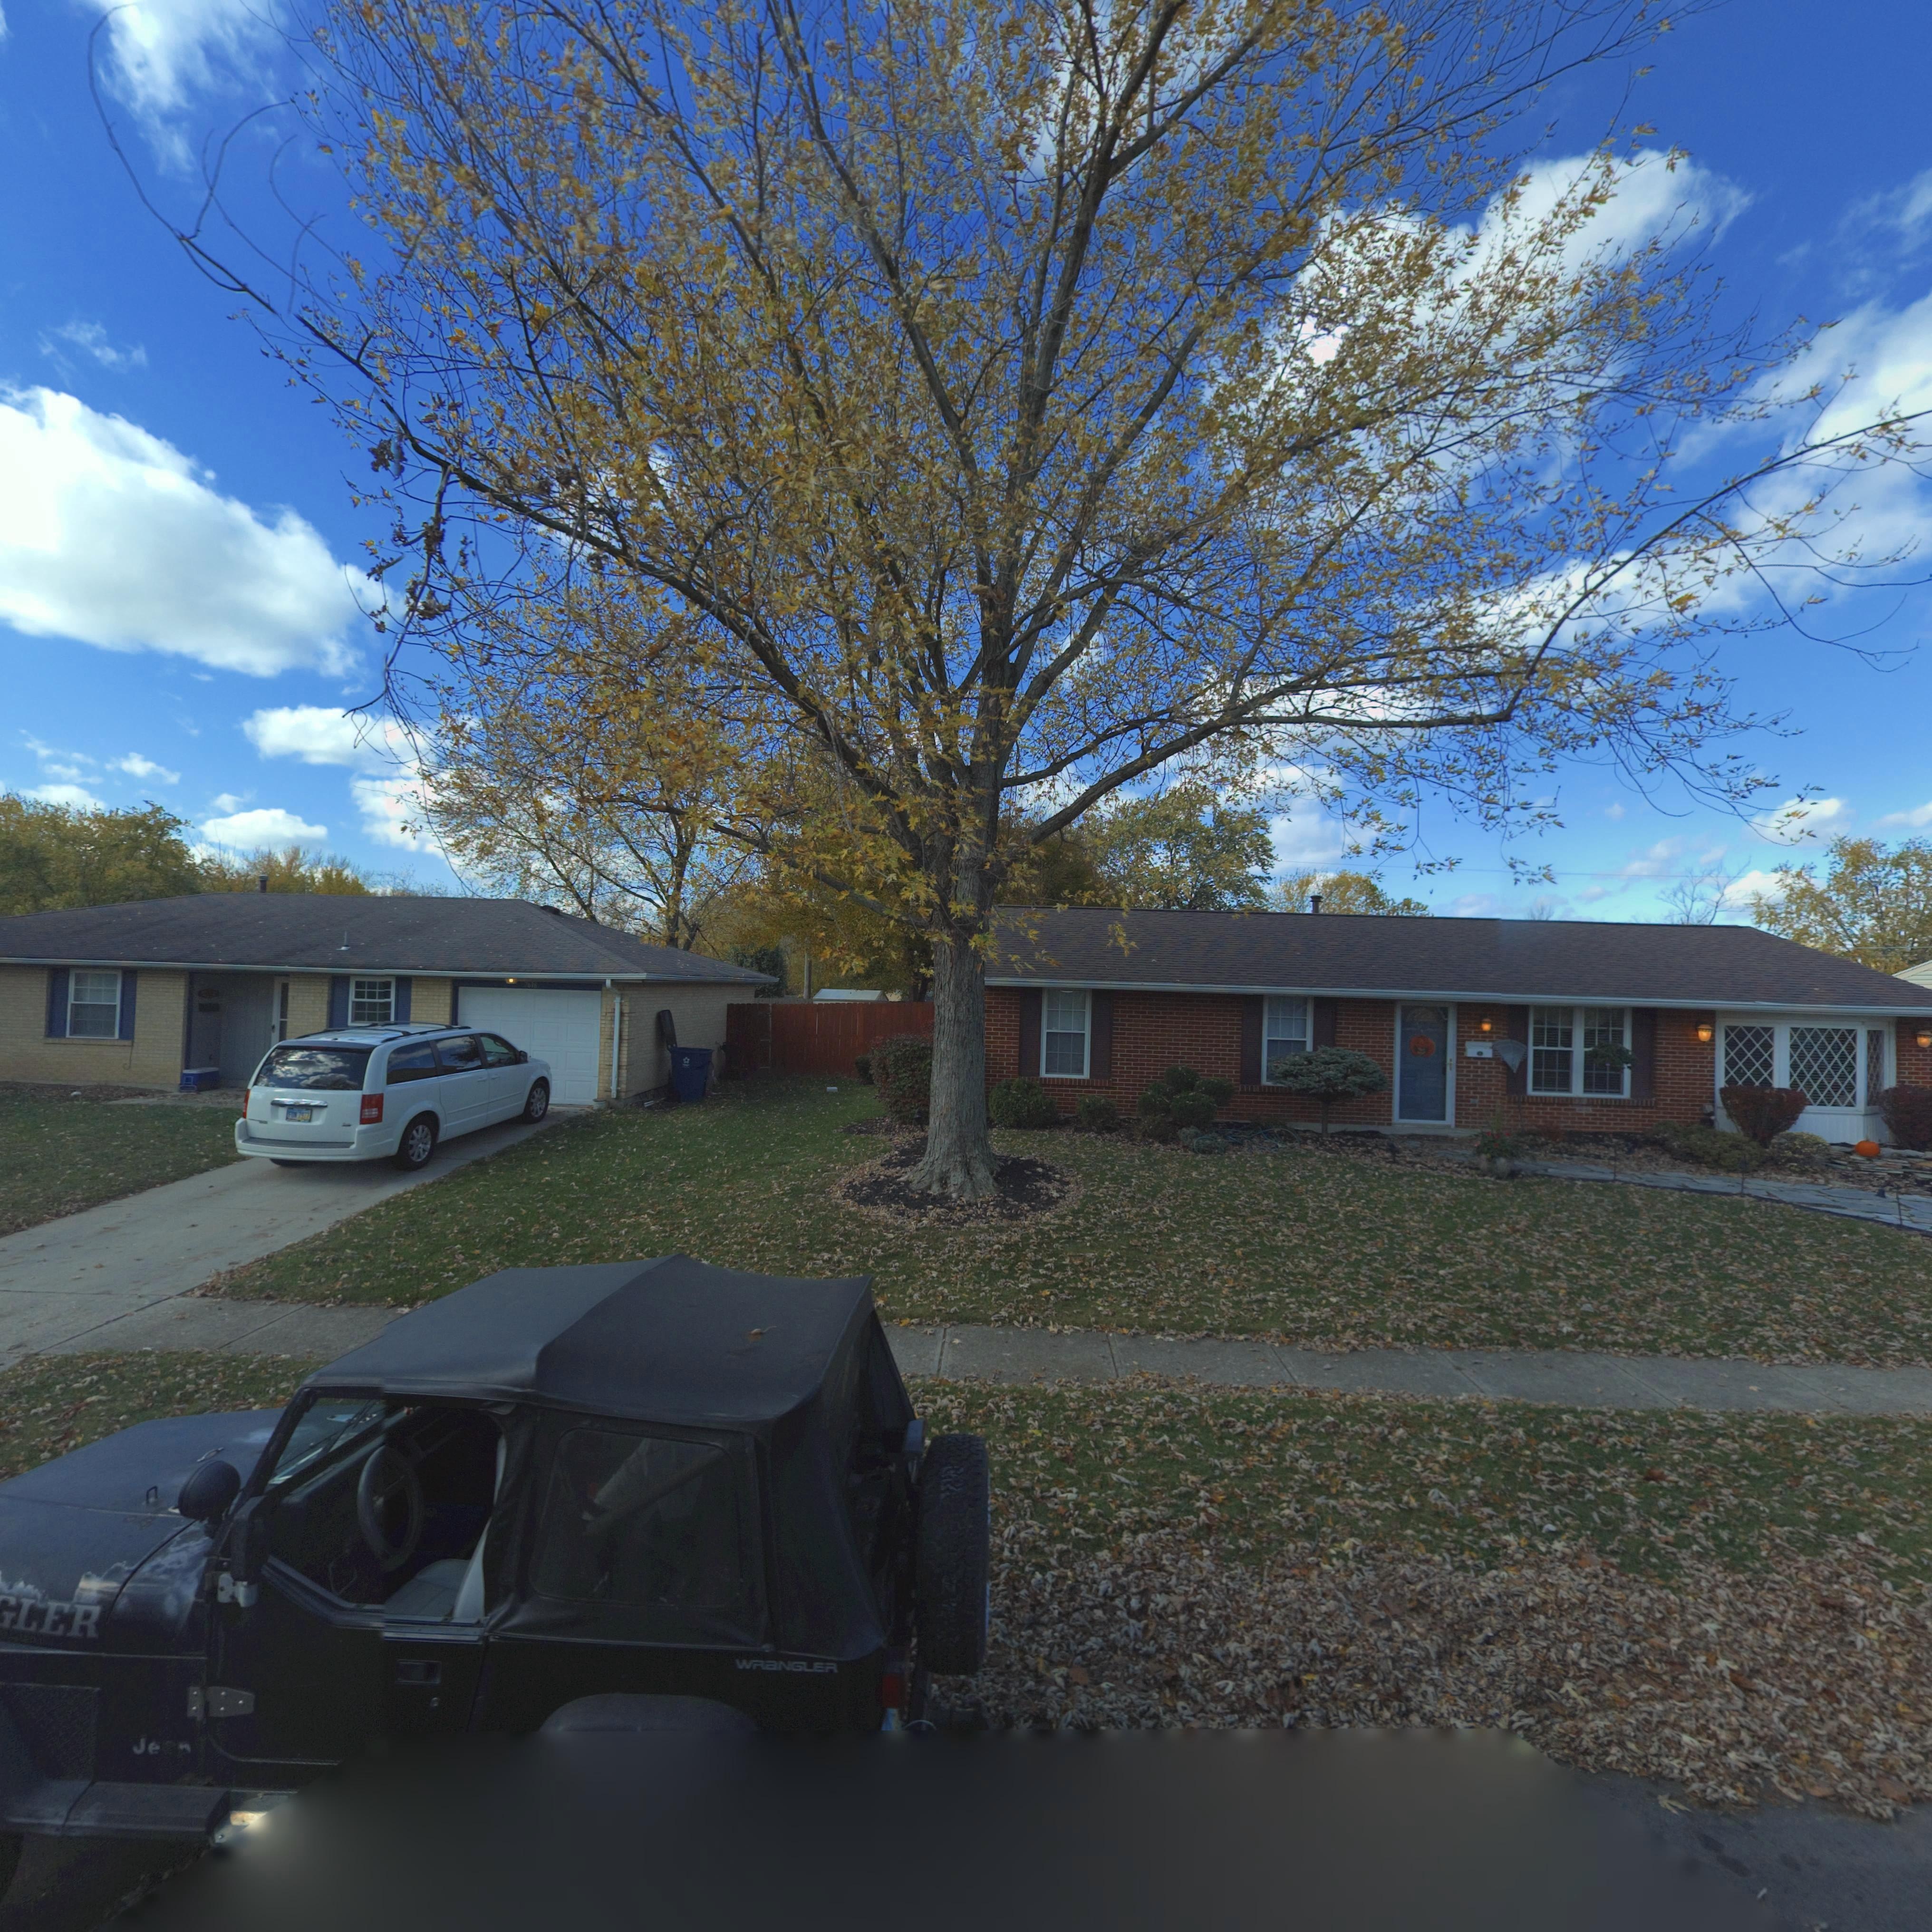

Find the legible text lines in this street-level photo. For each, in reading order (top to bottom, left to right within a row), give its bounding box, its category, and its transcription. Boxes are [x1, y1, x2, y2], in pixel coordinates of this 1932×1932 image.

[200, 990, 217, 997] StreetNumber: 7***